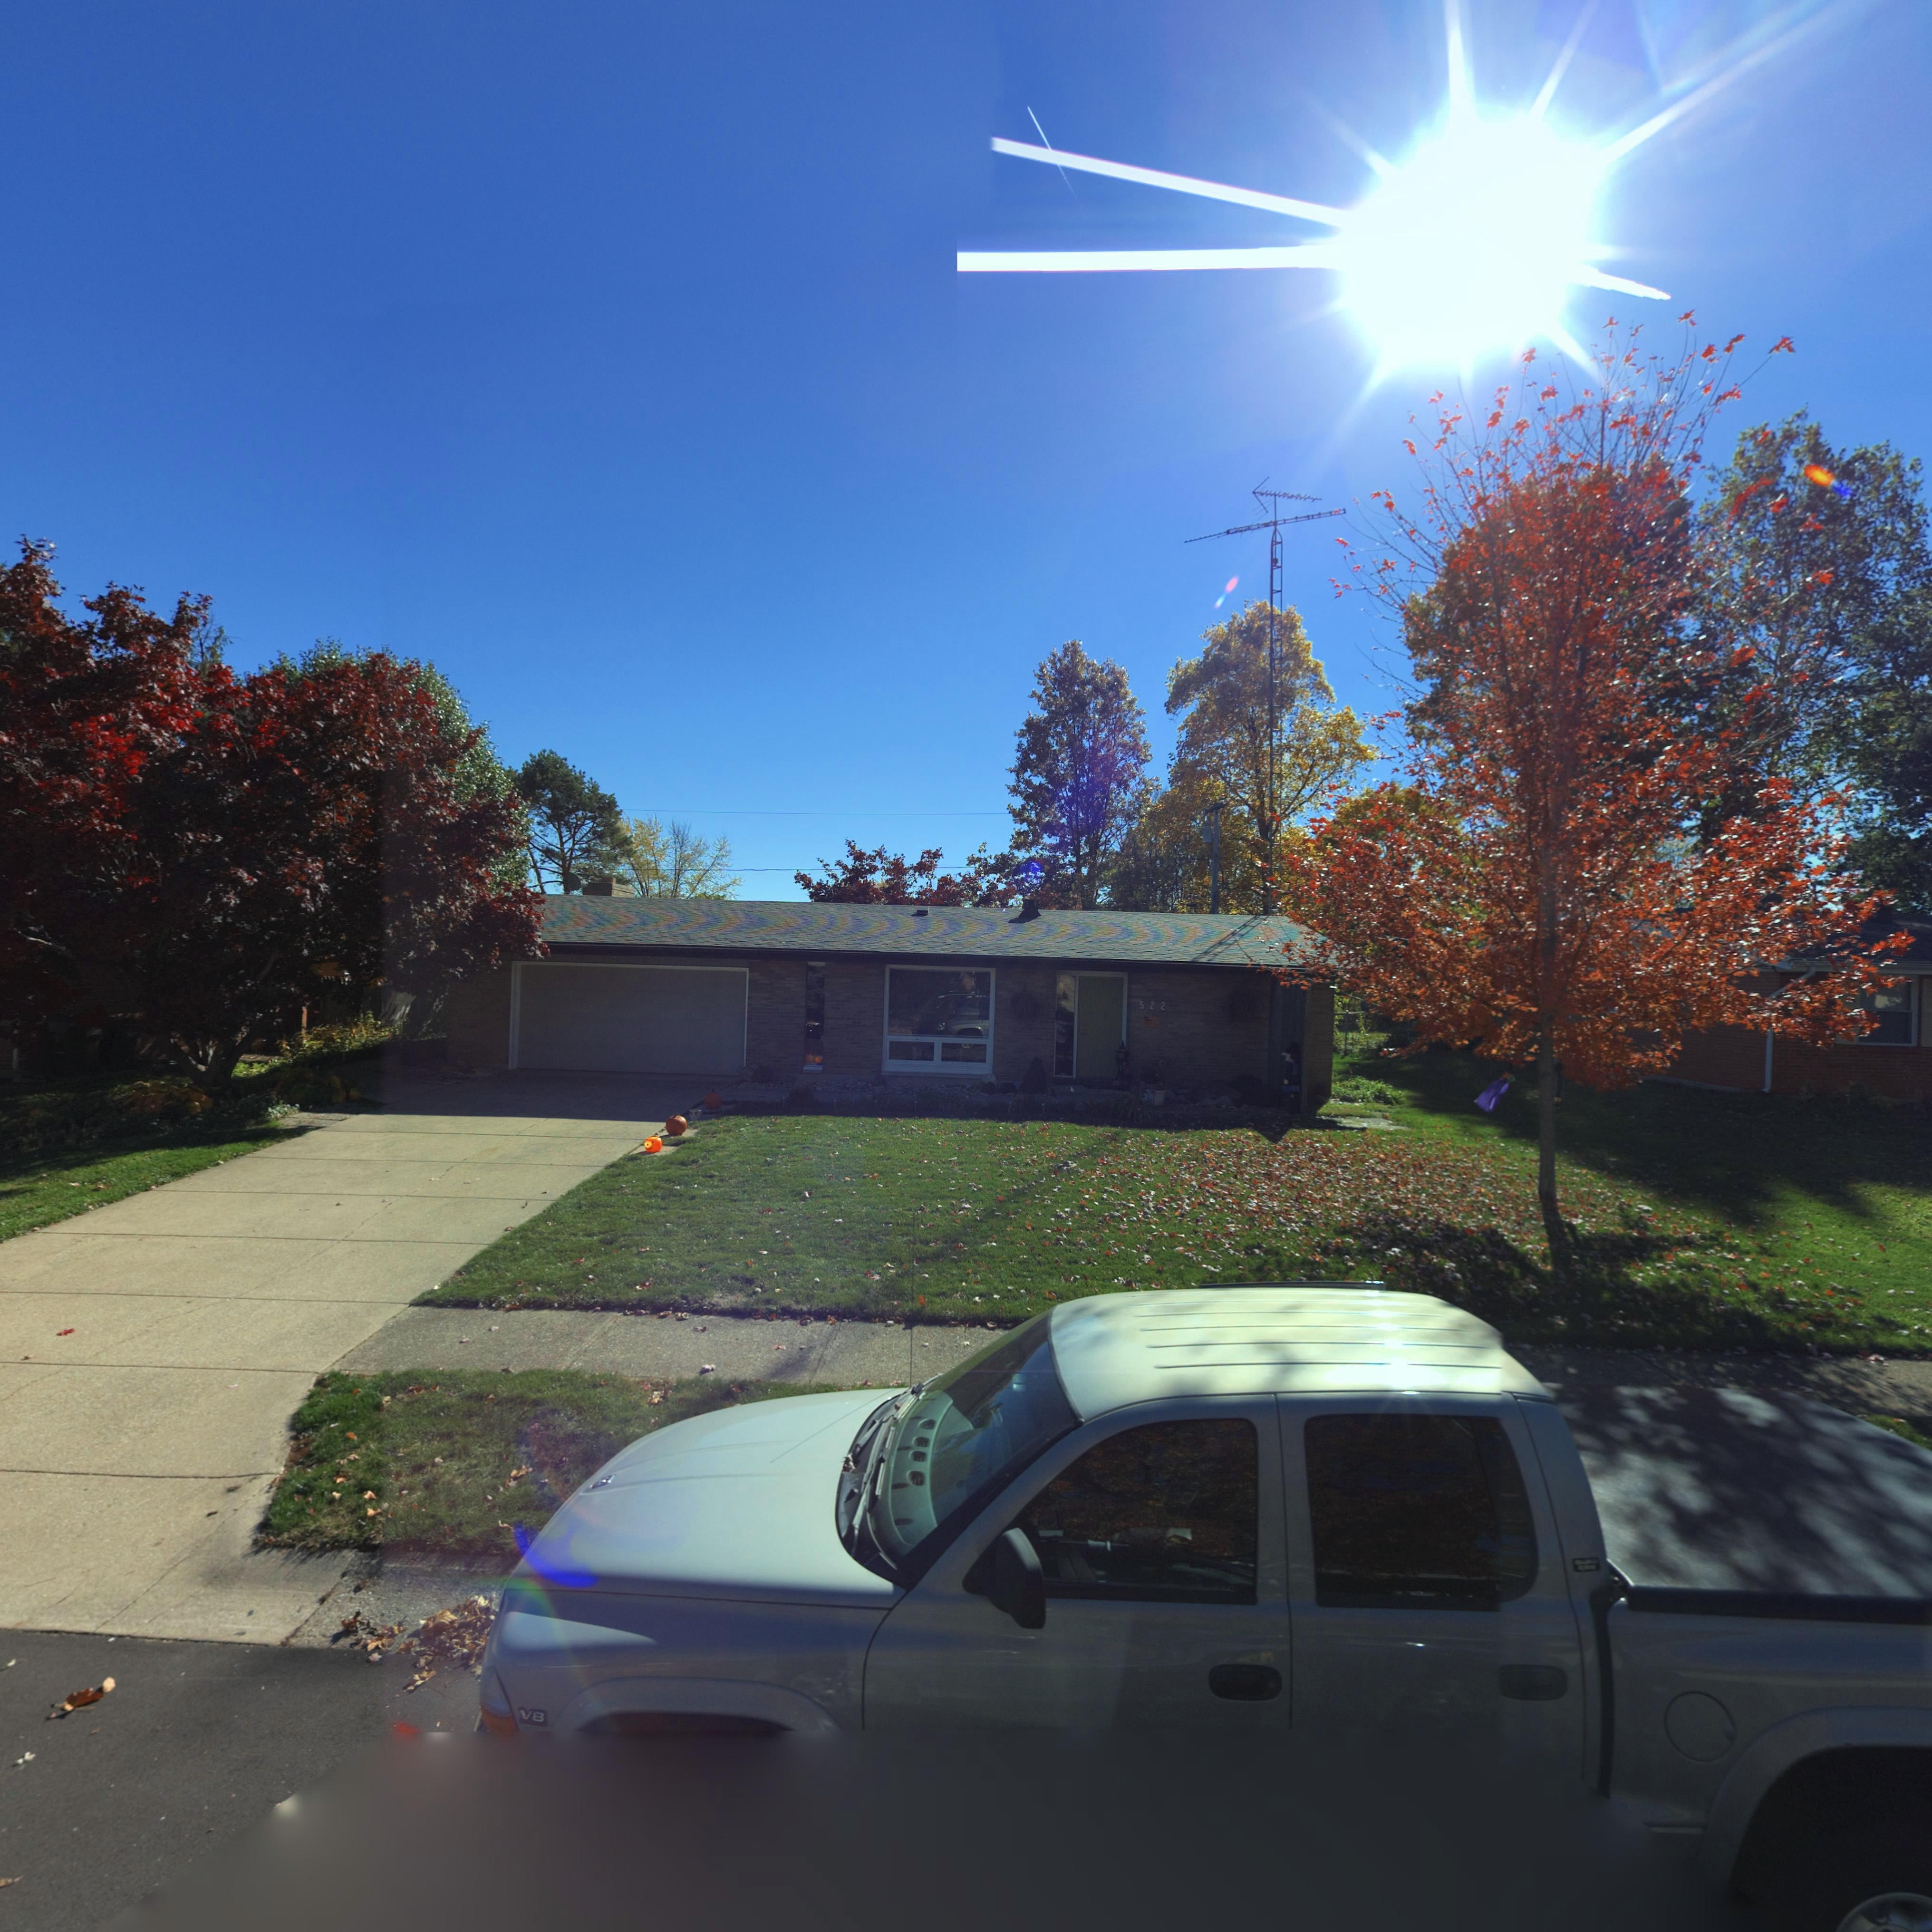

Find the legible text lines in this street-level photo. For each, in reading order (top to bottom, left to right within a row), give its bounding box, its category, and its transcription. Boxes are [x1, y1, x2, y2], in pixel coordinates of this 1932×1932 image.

[1139, 1000, 1167, 1011] StreetNumber: 522